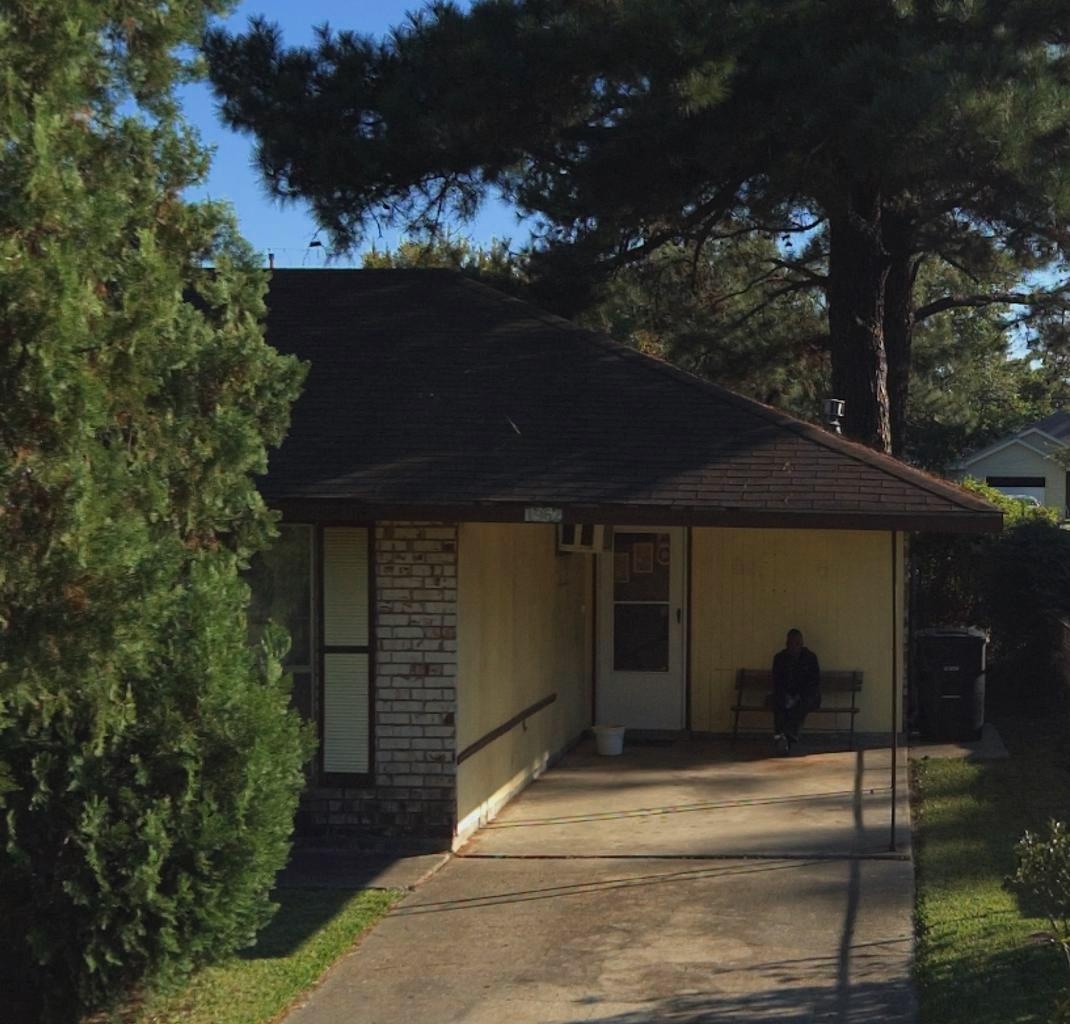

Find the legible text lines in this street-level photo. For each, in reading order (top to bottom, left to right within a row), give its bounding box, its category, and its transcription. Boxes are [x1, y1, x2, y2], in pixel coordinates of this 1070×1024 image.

[524, 507, 562, 522] StreetNumber: 1962